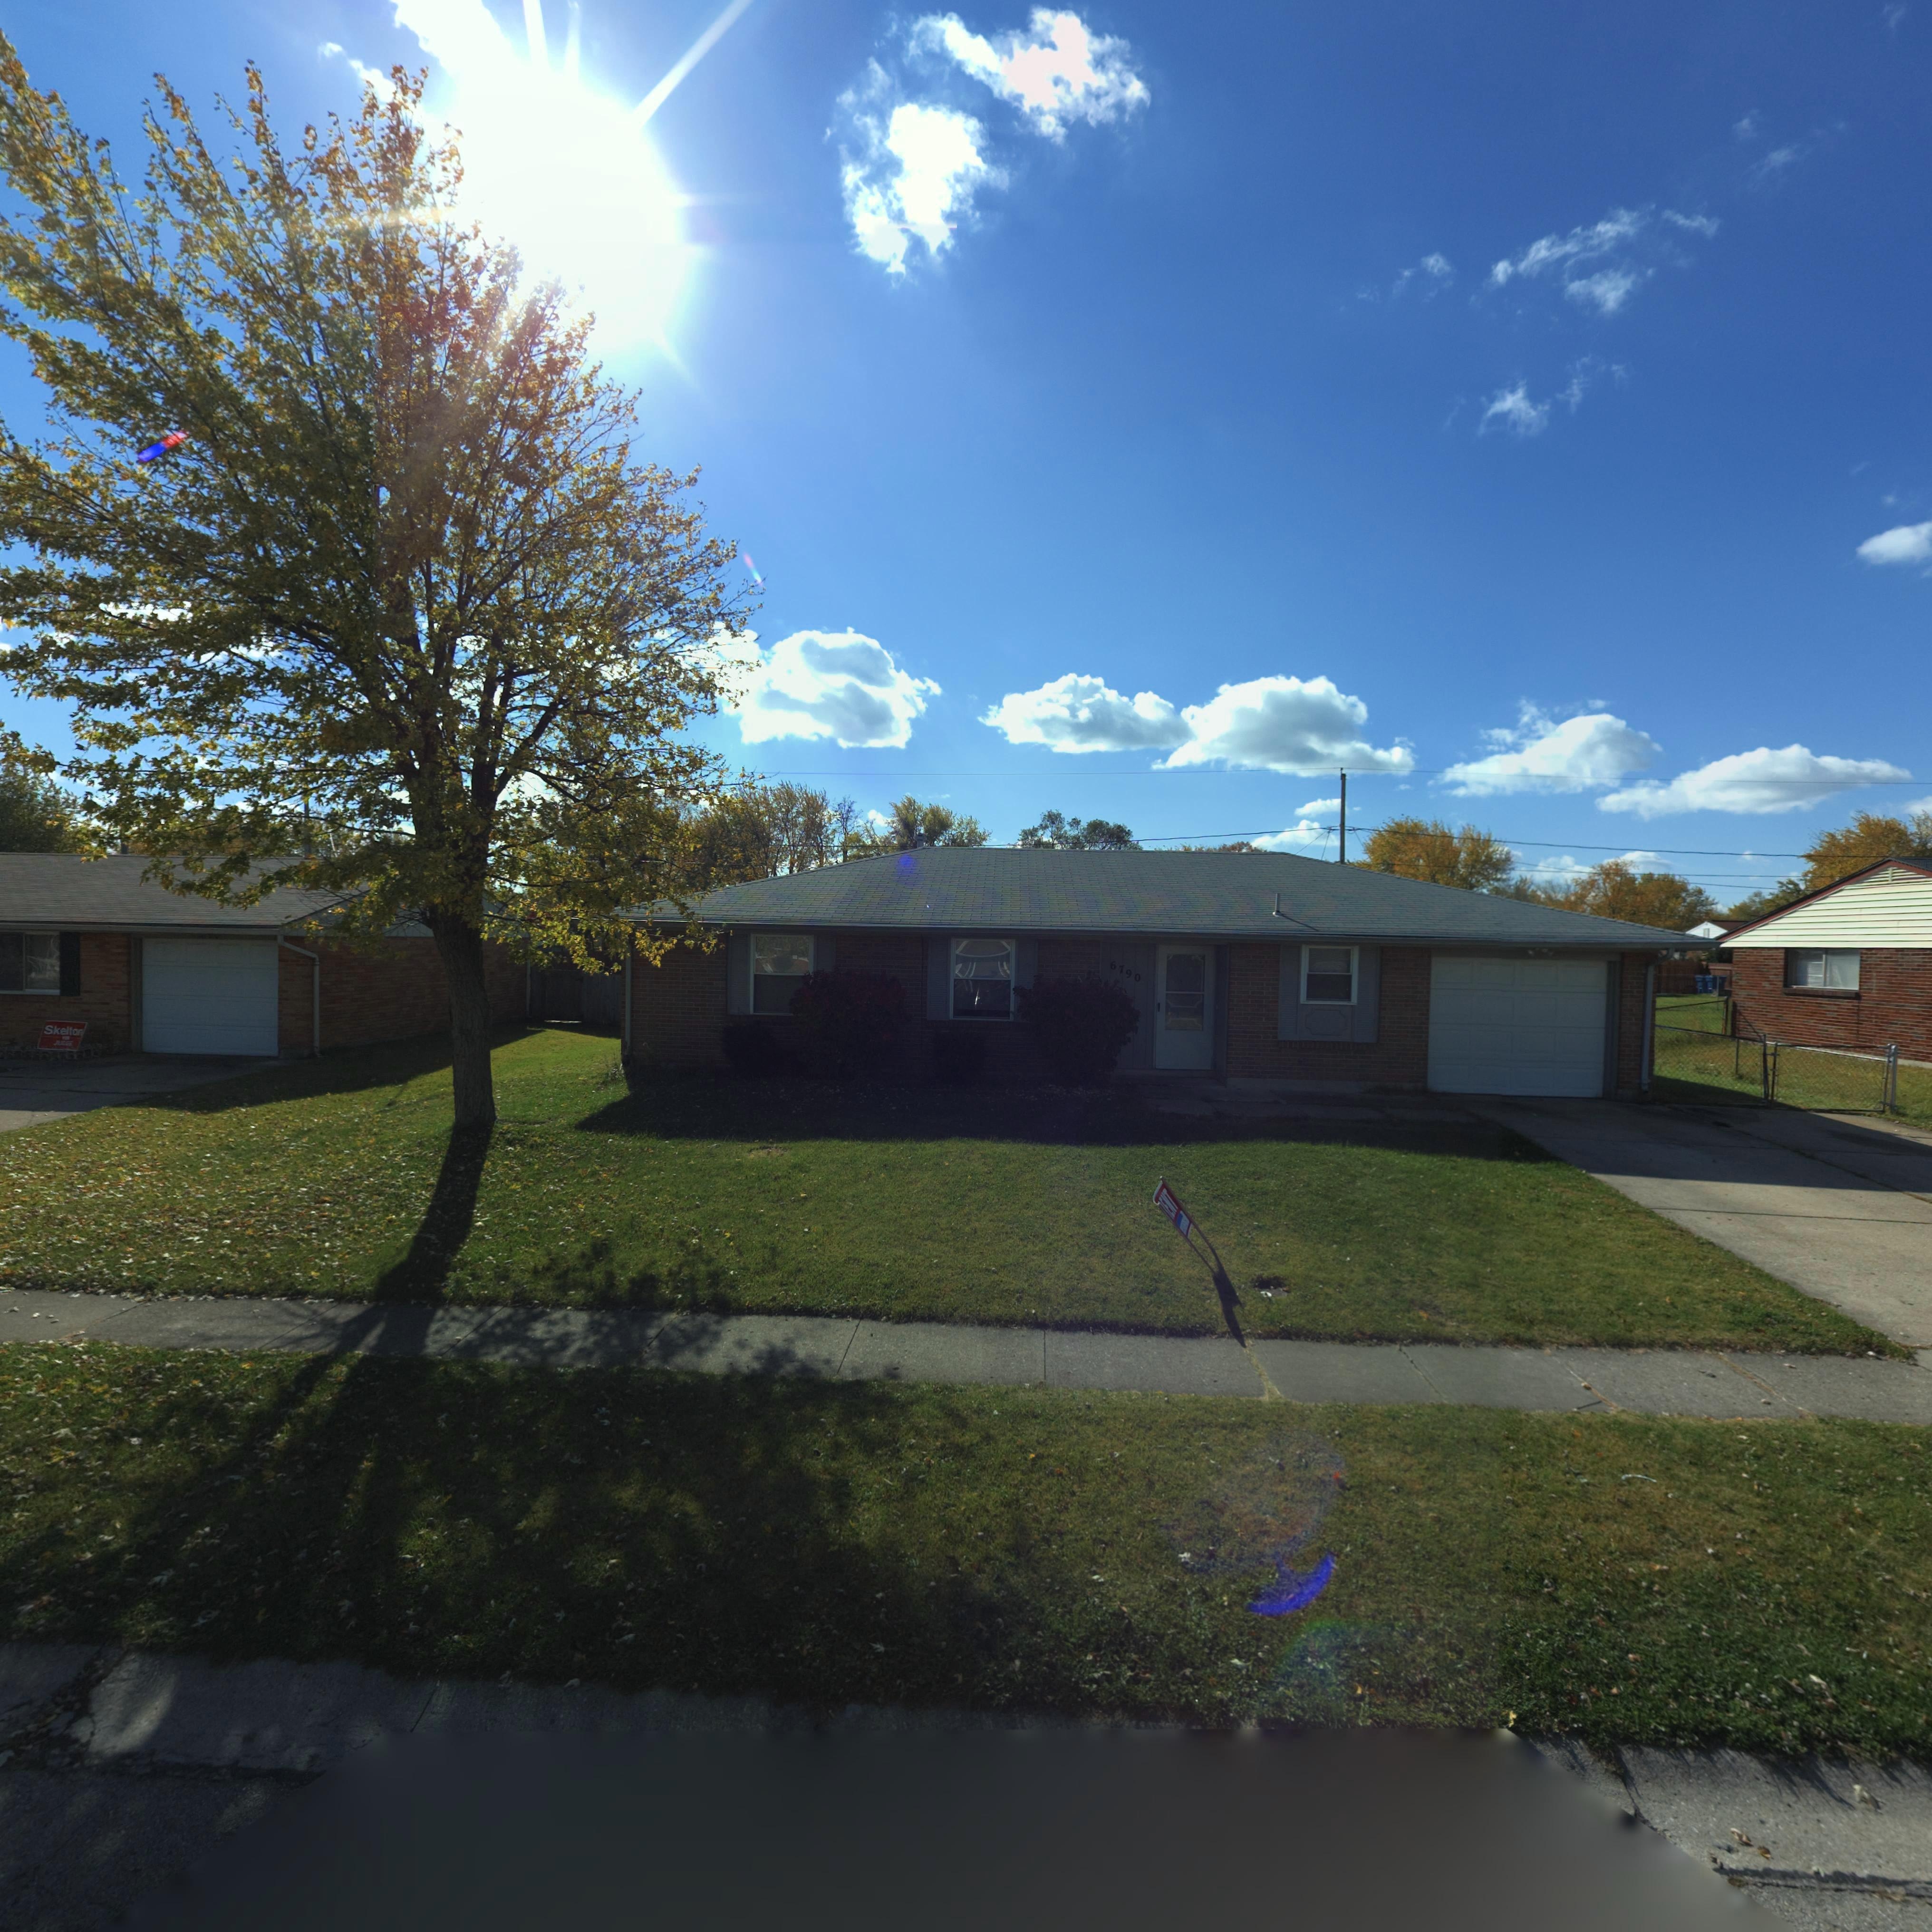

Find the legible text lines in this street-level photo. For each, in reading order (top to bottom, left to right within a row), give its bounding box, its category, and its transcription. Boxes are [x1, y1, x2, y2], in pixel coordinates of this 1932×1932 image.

[1109, 959, 1142, 983] StreetNumber: 6790